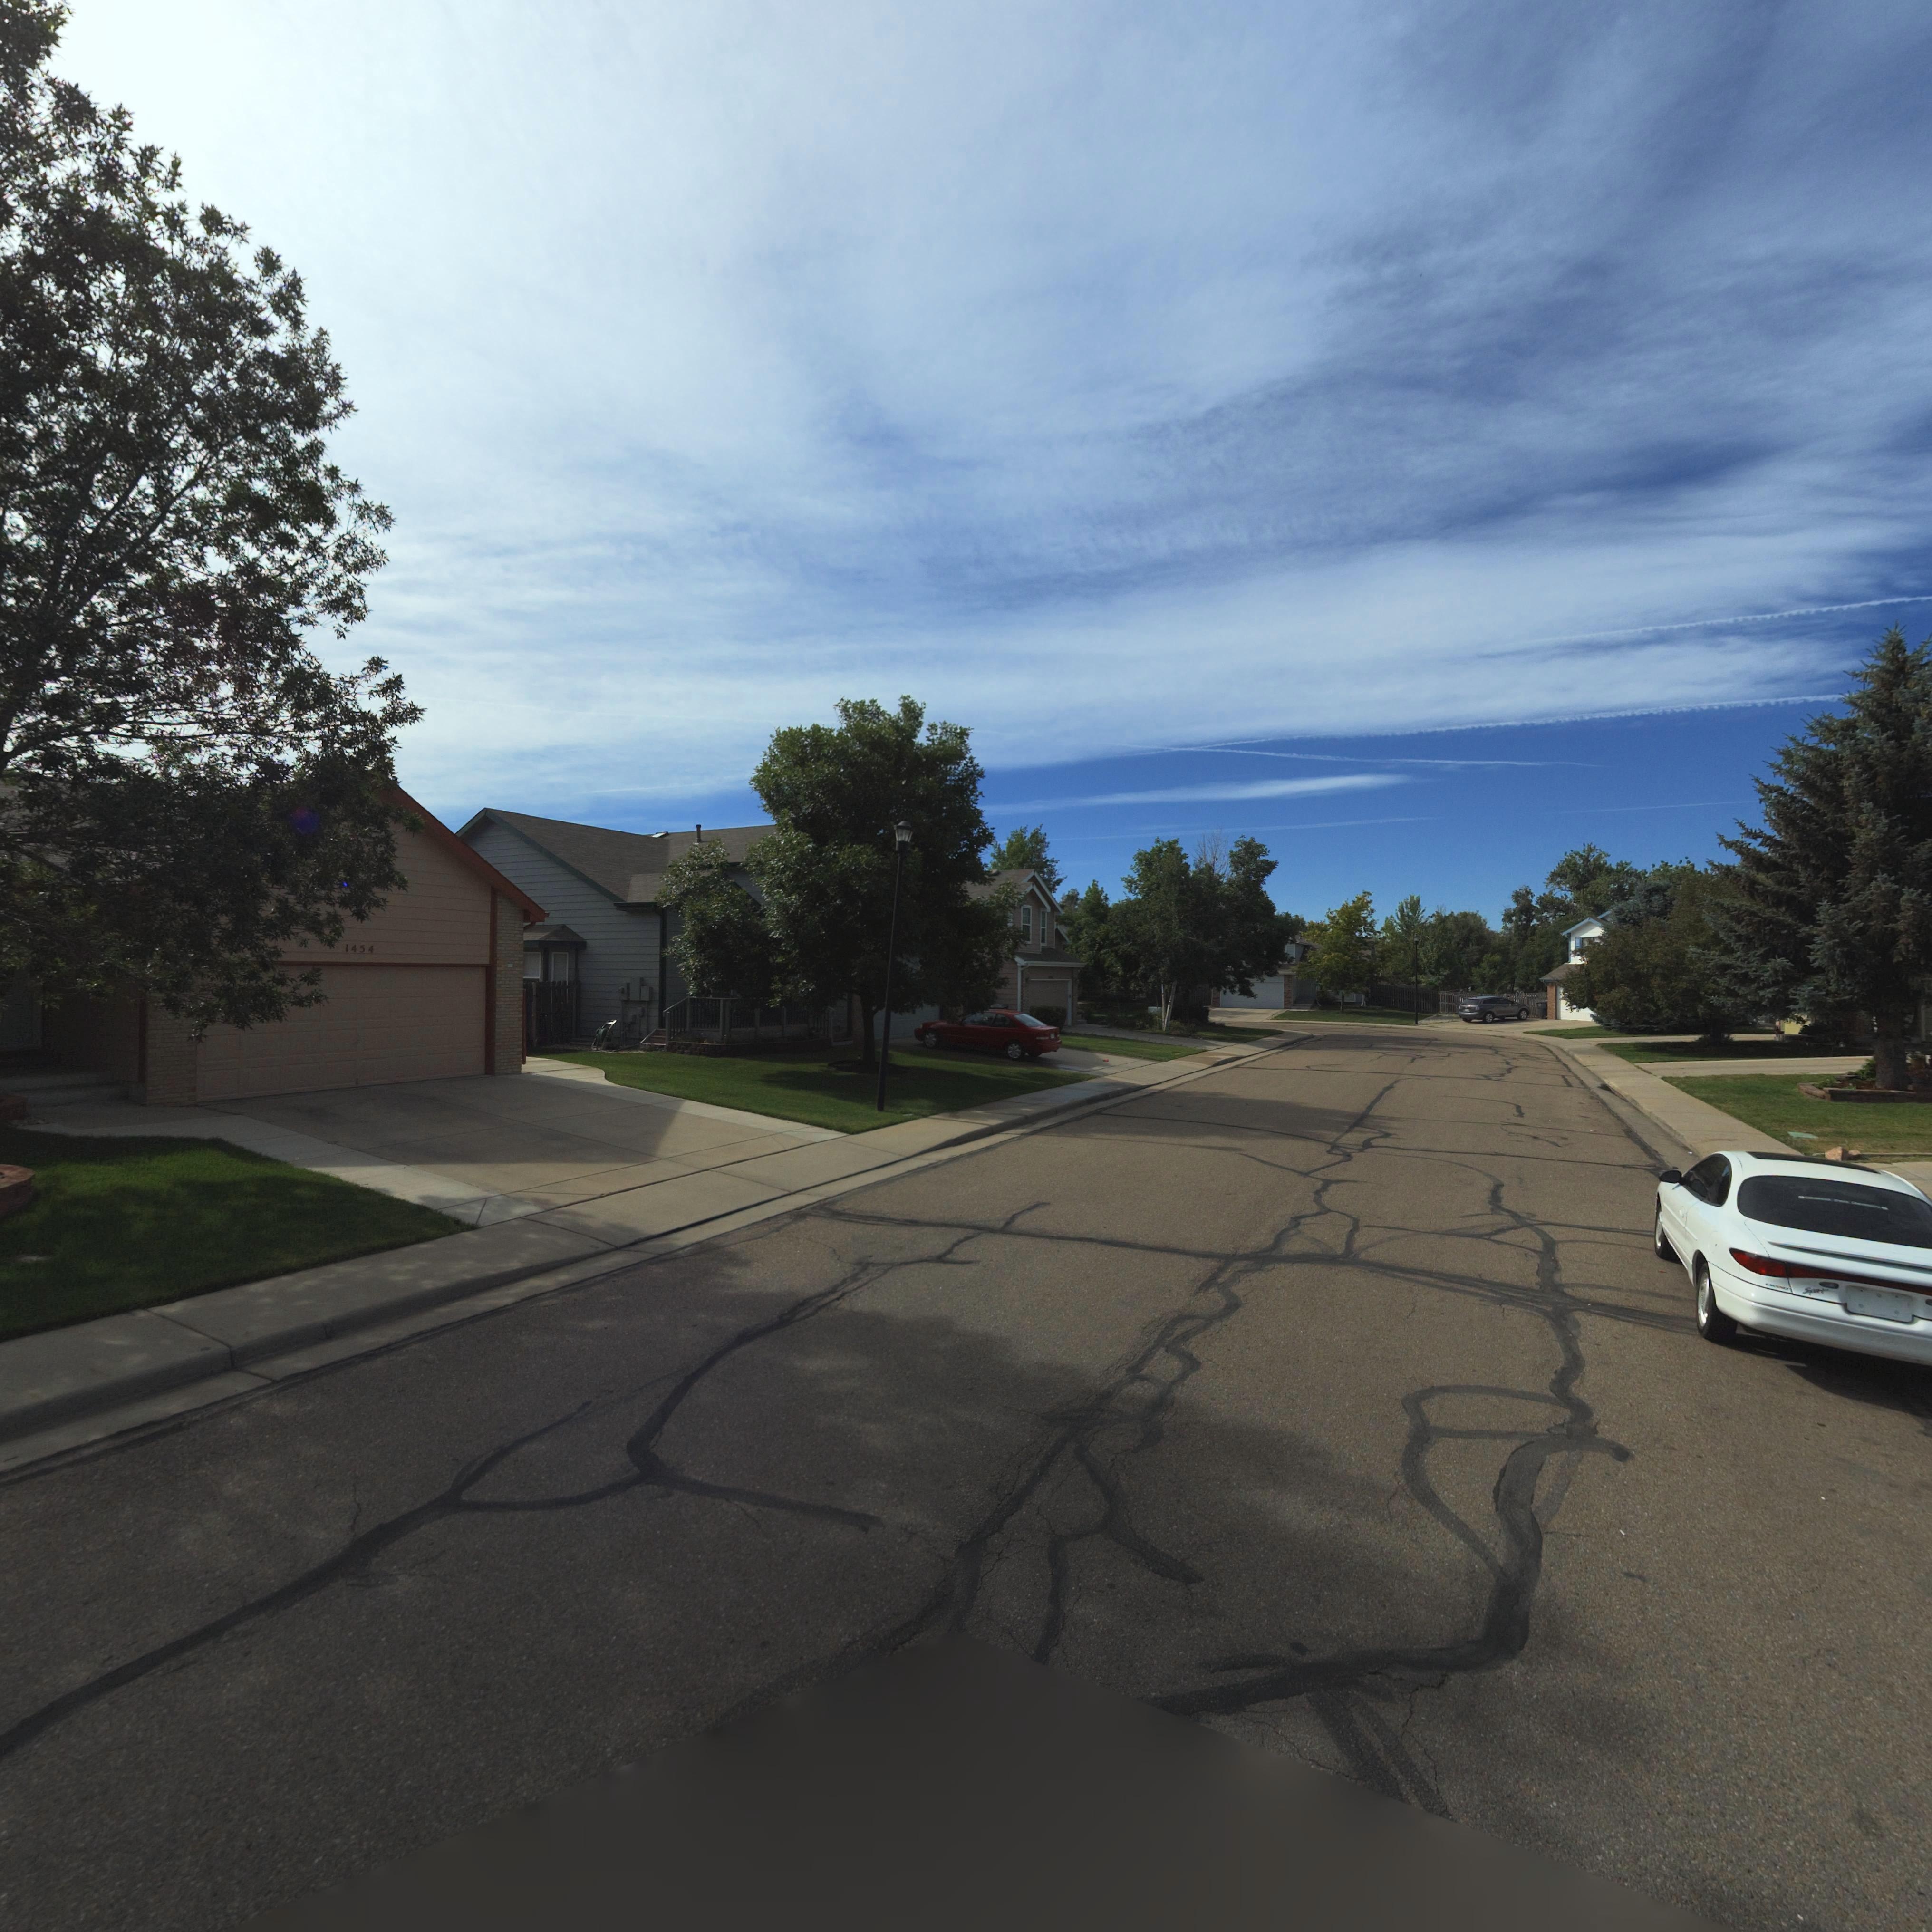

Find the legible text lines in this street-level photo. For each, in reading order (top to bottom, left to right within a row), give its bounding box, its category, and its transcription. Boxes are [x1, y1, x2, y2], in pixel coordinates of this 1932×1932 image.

[344, 942, 374, 954] StreetNumber: 1454